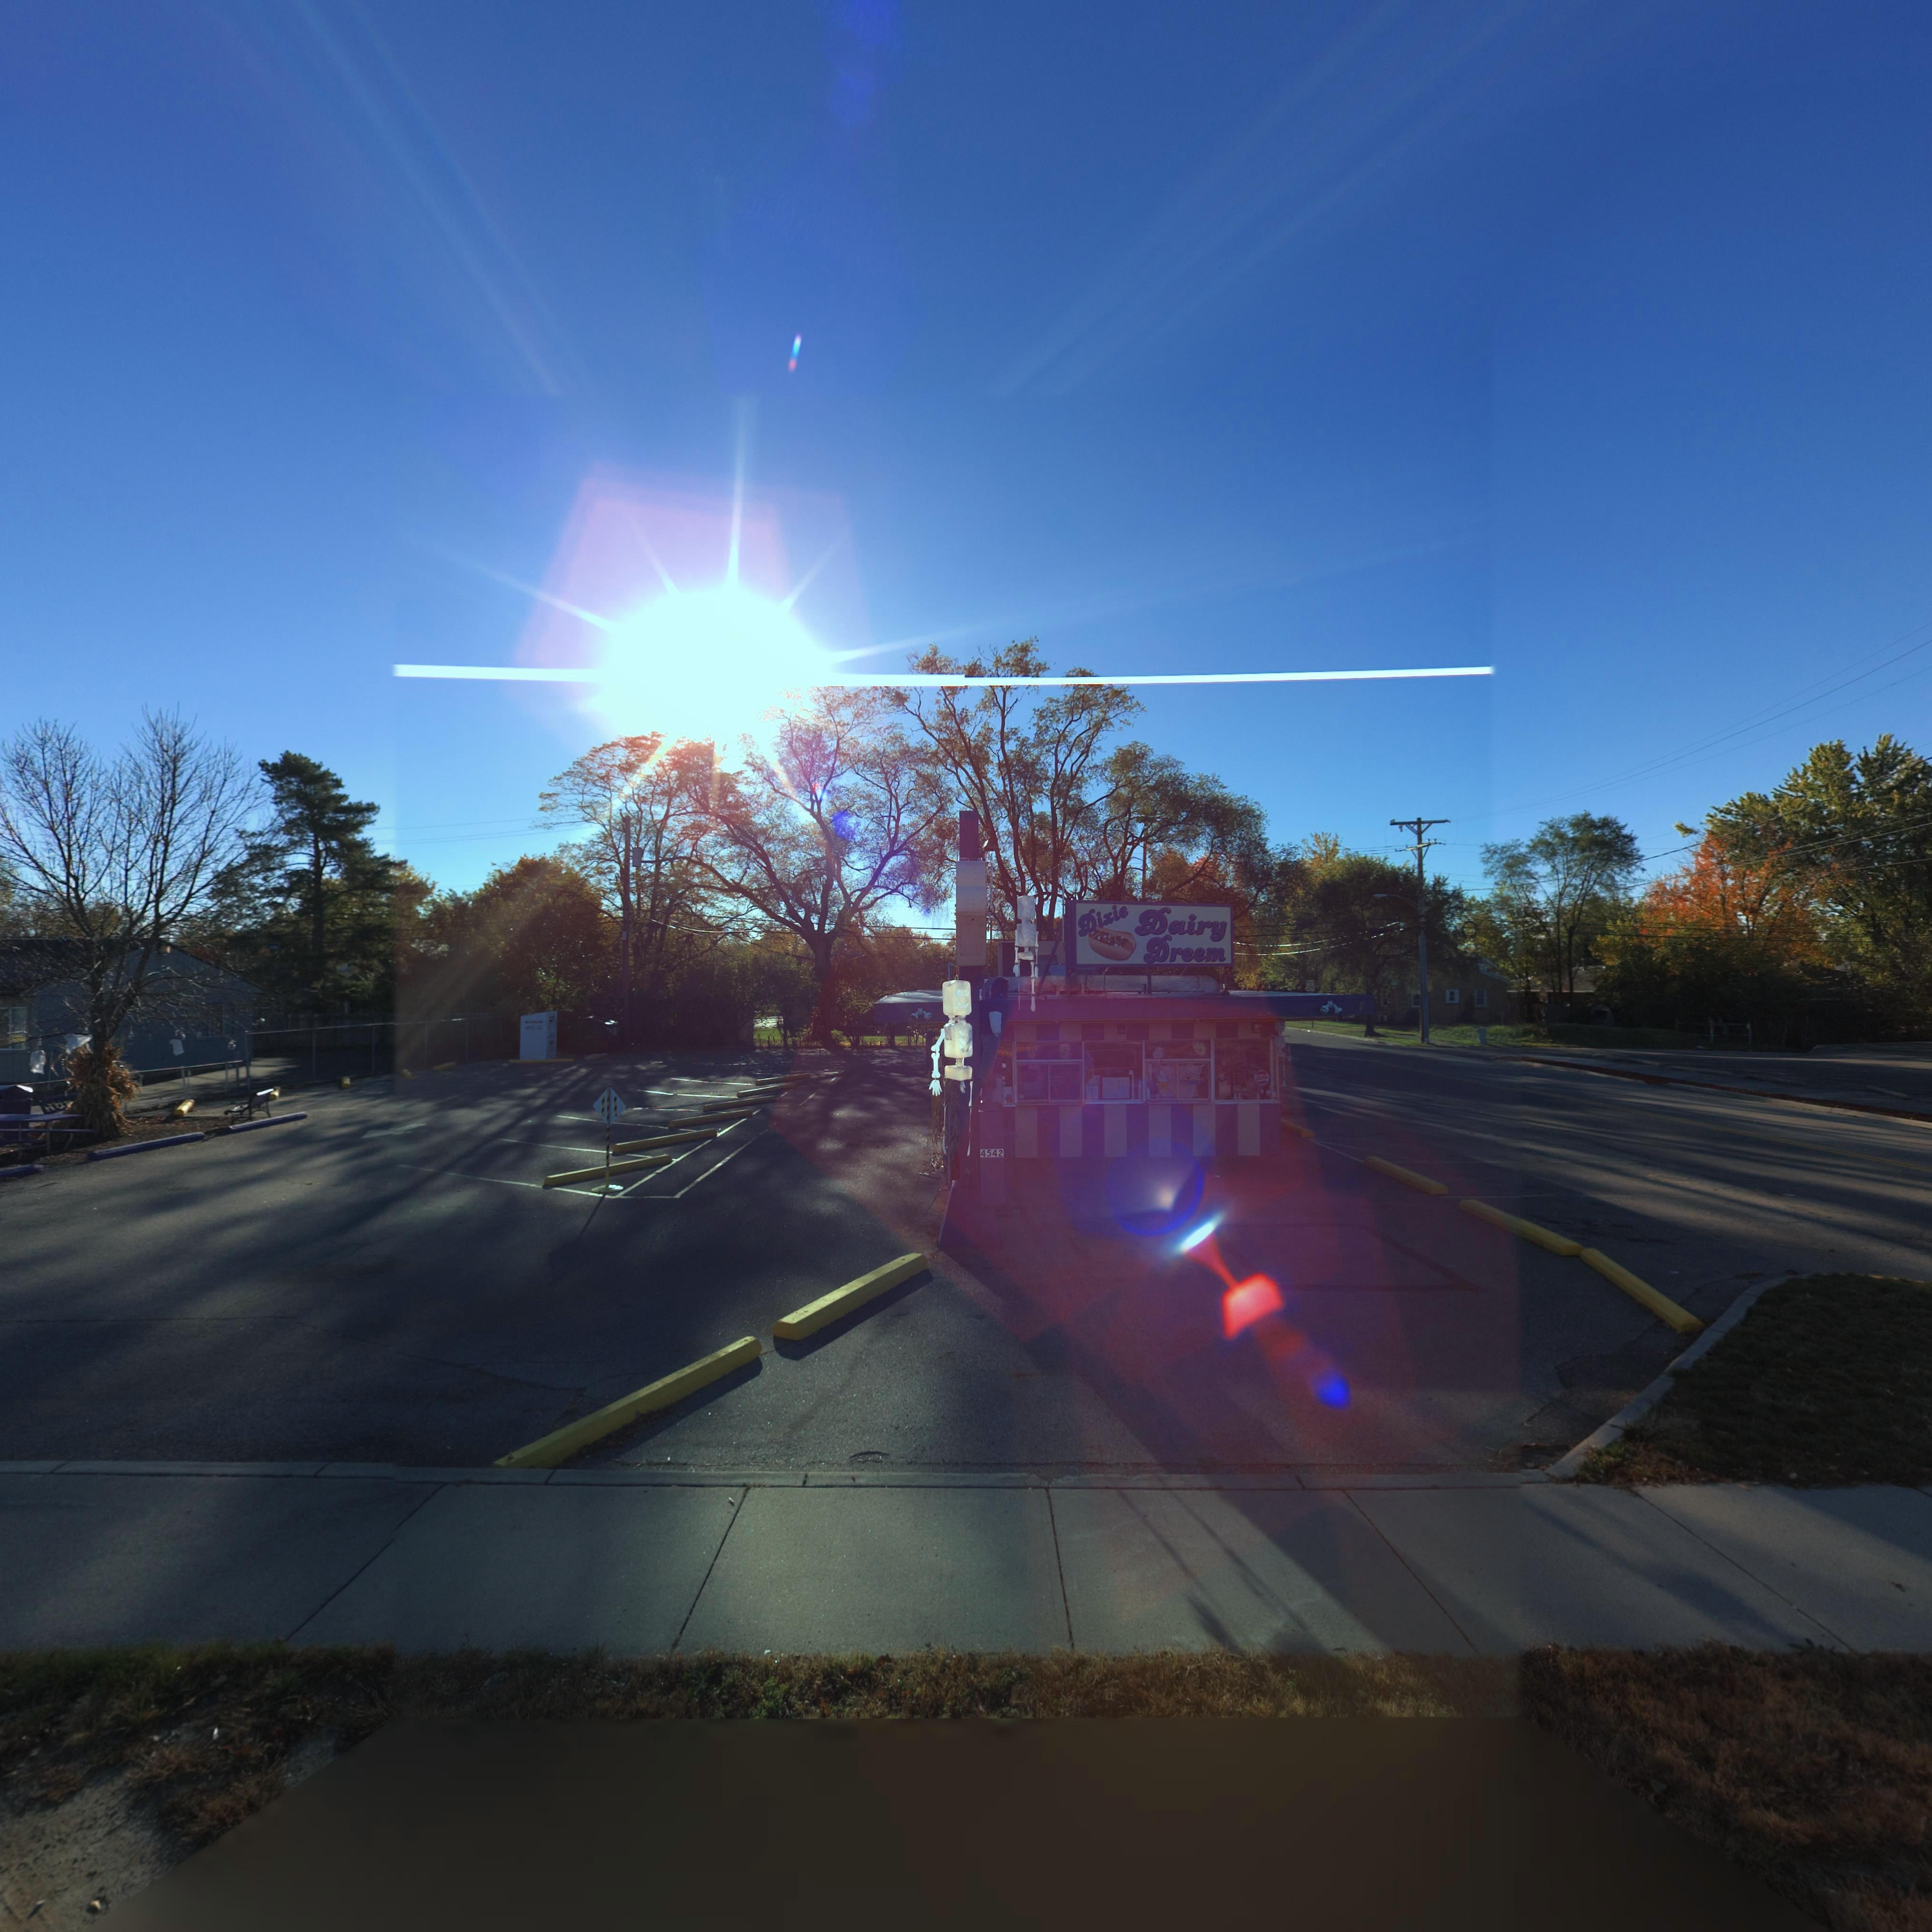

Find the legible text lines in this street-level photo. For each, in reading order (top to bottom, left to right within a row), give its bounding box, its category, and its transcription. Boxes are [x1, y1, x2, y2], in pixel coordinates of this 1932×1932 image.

[980, 1149, 1004, 1157] StreetNumber: 4542